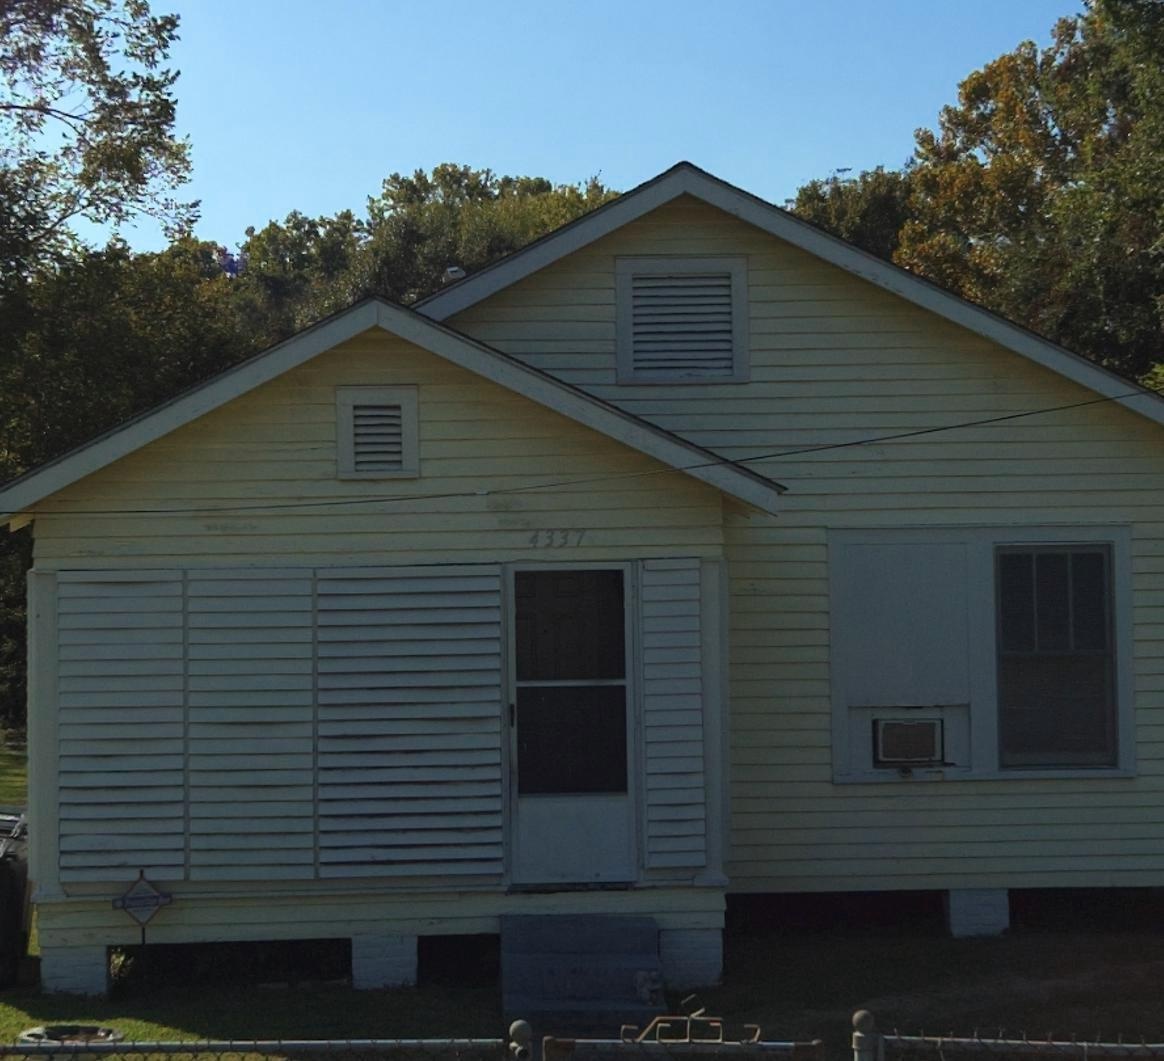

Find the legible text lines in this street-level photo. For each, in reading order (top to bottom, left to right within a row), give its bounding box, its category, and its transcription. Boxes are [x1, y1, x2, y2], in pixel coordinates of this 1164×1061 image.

[525, 528, 588, 549] StreetNumber: 4337